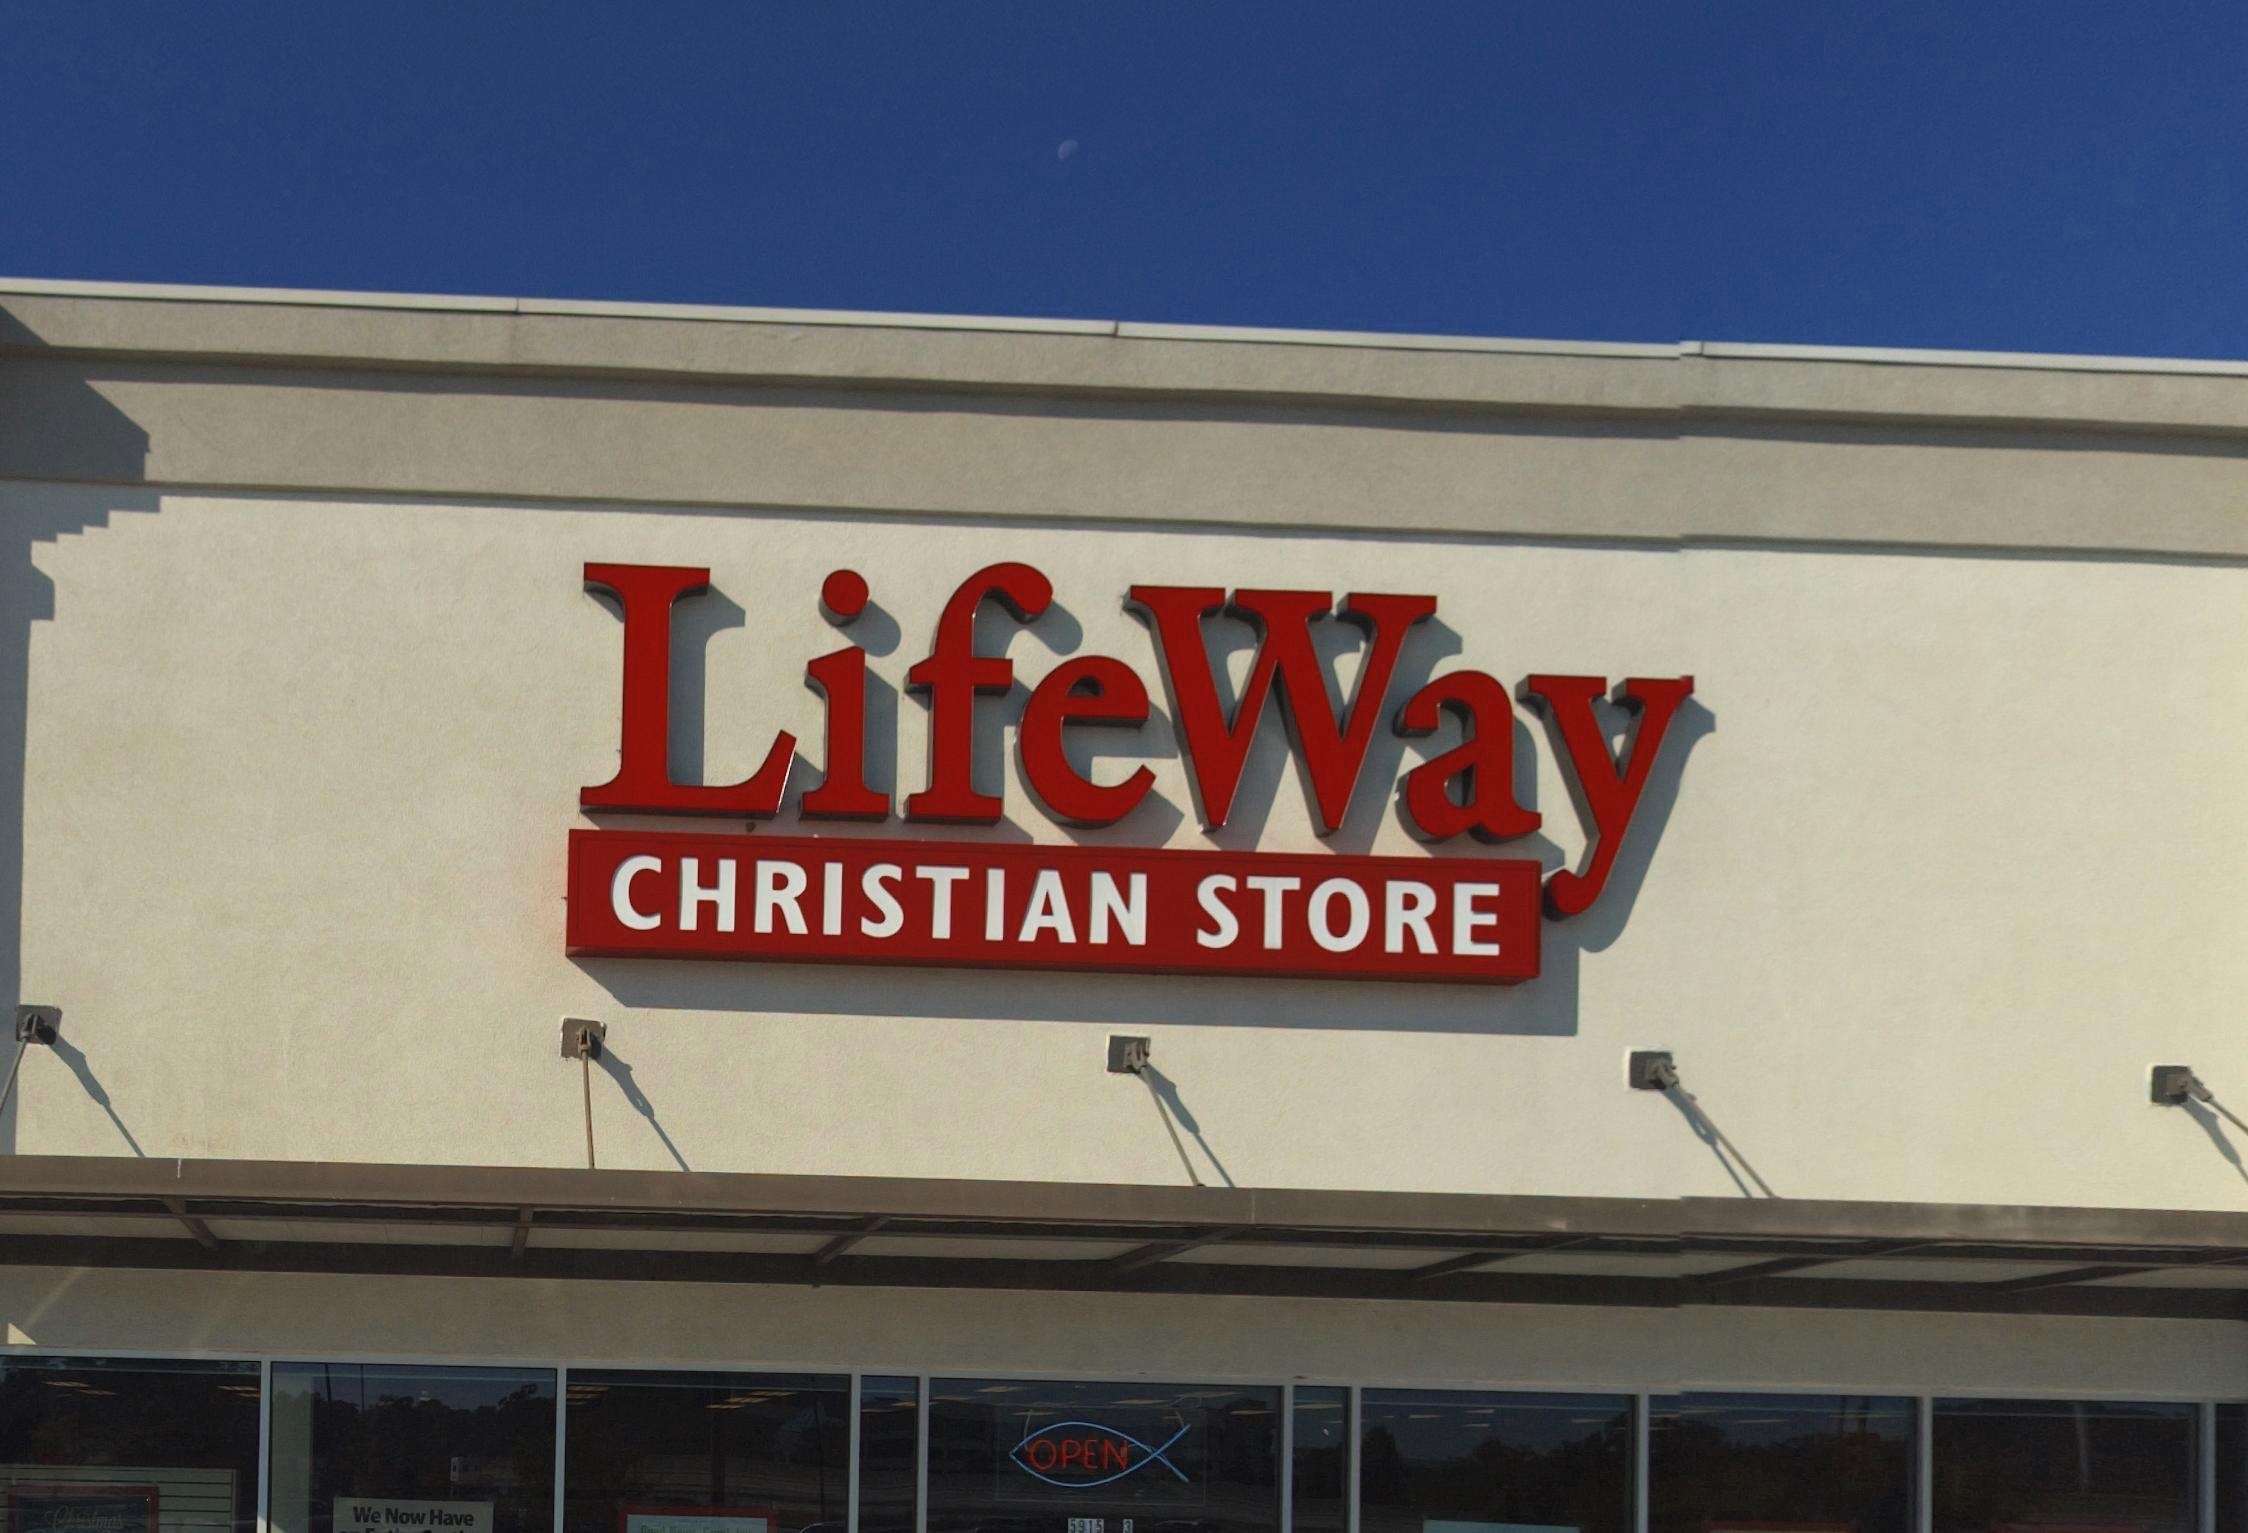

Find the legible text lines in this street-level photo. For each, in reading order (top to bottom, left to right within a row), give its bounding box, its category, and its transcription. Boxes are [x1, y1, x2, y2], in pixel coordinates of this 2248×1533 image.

[574, 554, 1711, 924] BusinessName: LifeWay
[600, 843, 1507, 966] None: CHRISTIAN STORE
[1026, 1437, 1130, 1473] None: OPEN
[350, 1504, 477, 1528] None: We Now Have
[1068, 1517, 1104, 1533] StreetNumber: 5915
[1123, 1518, 1133, 1533] StreetNumber: 3